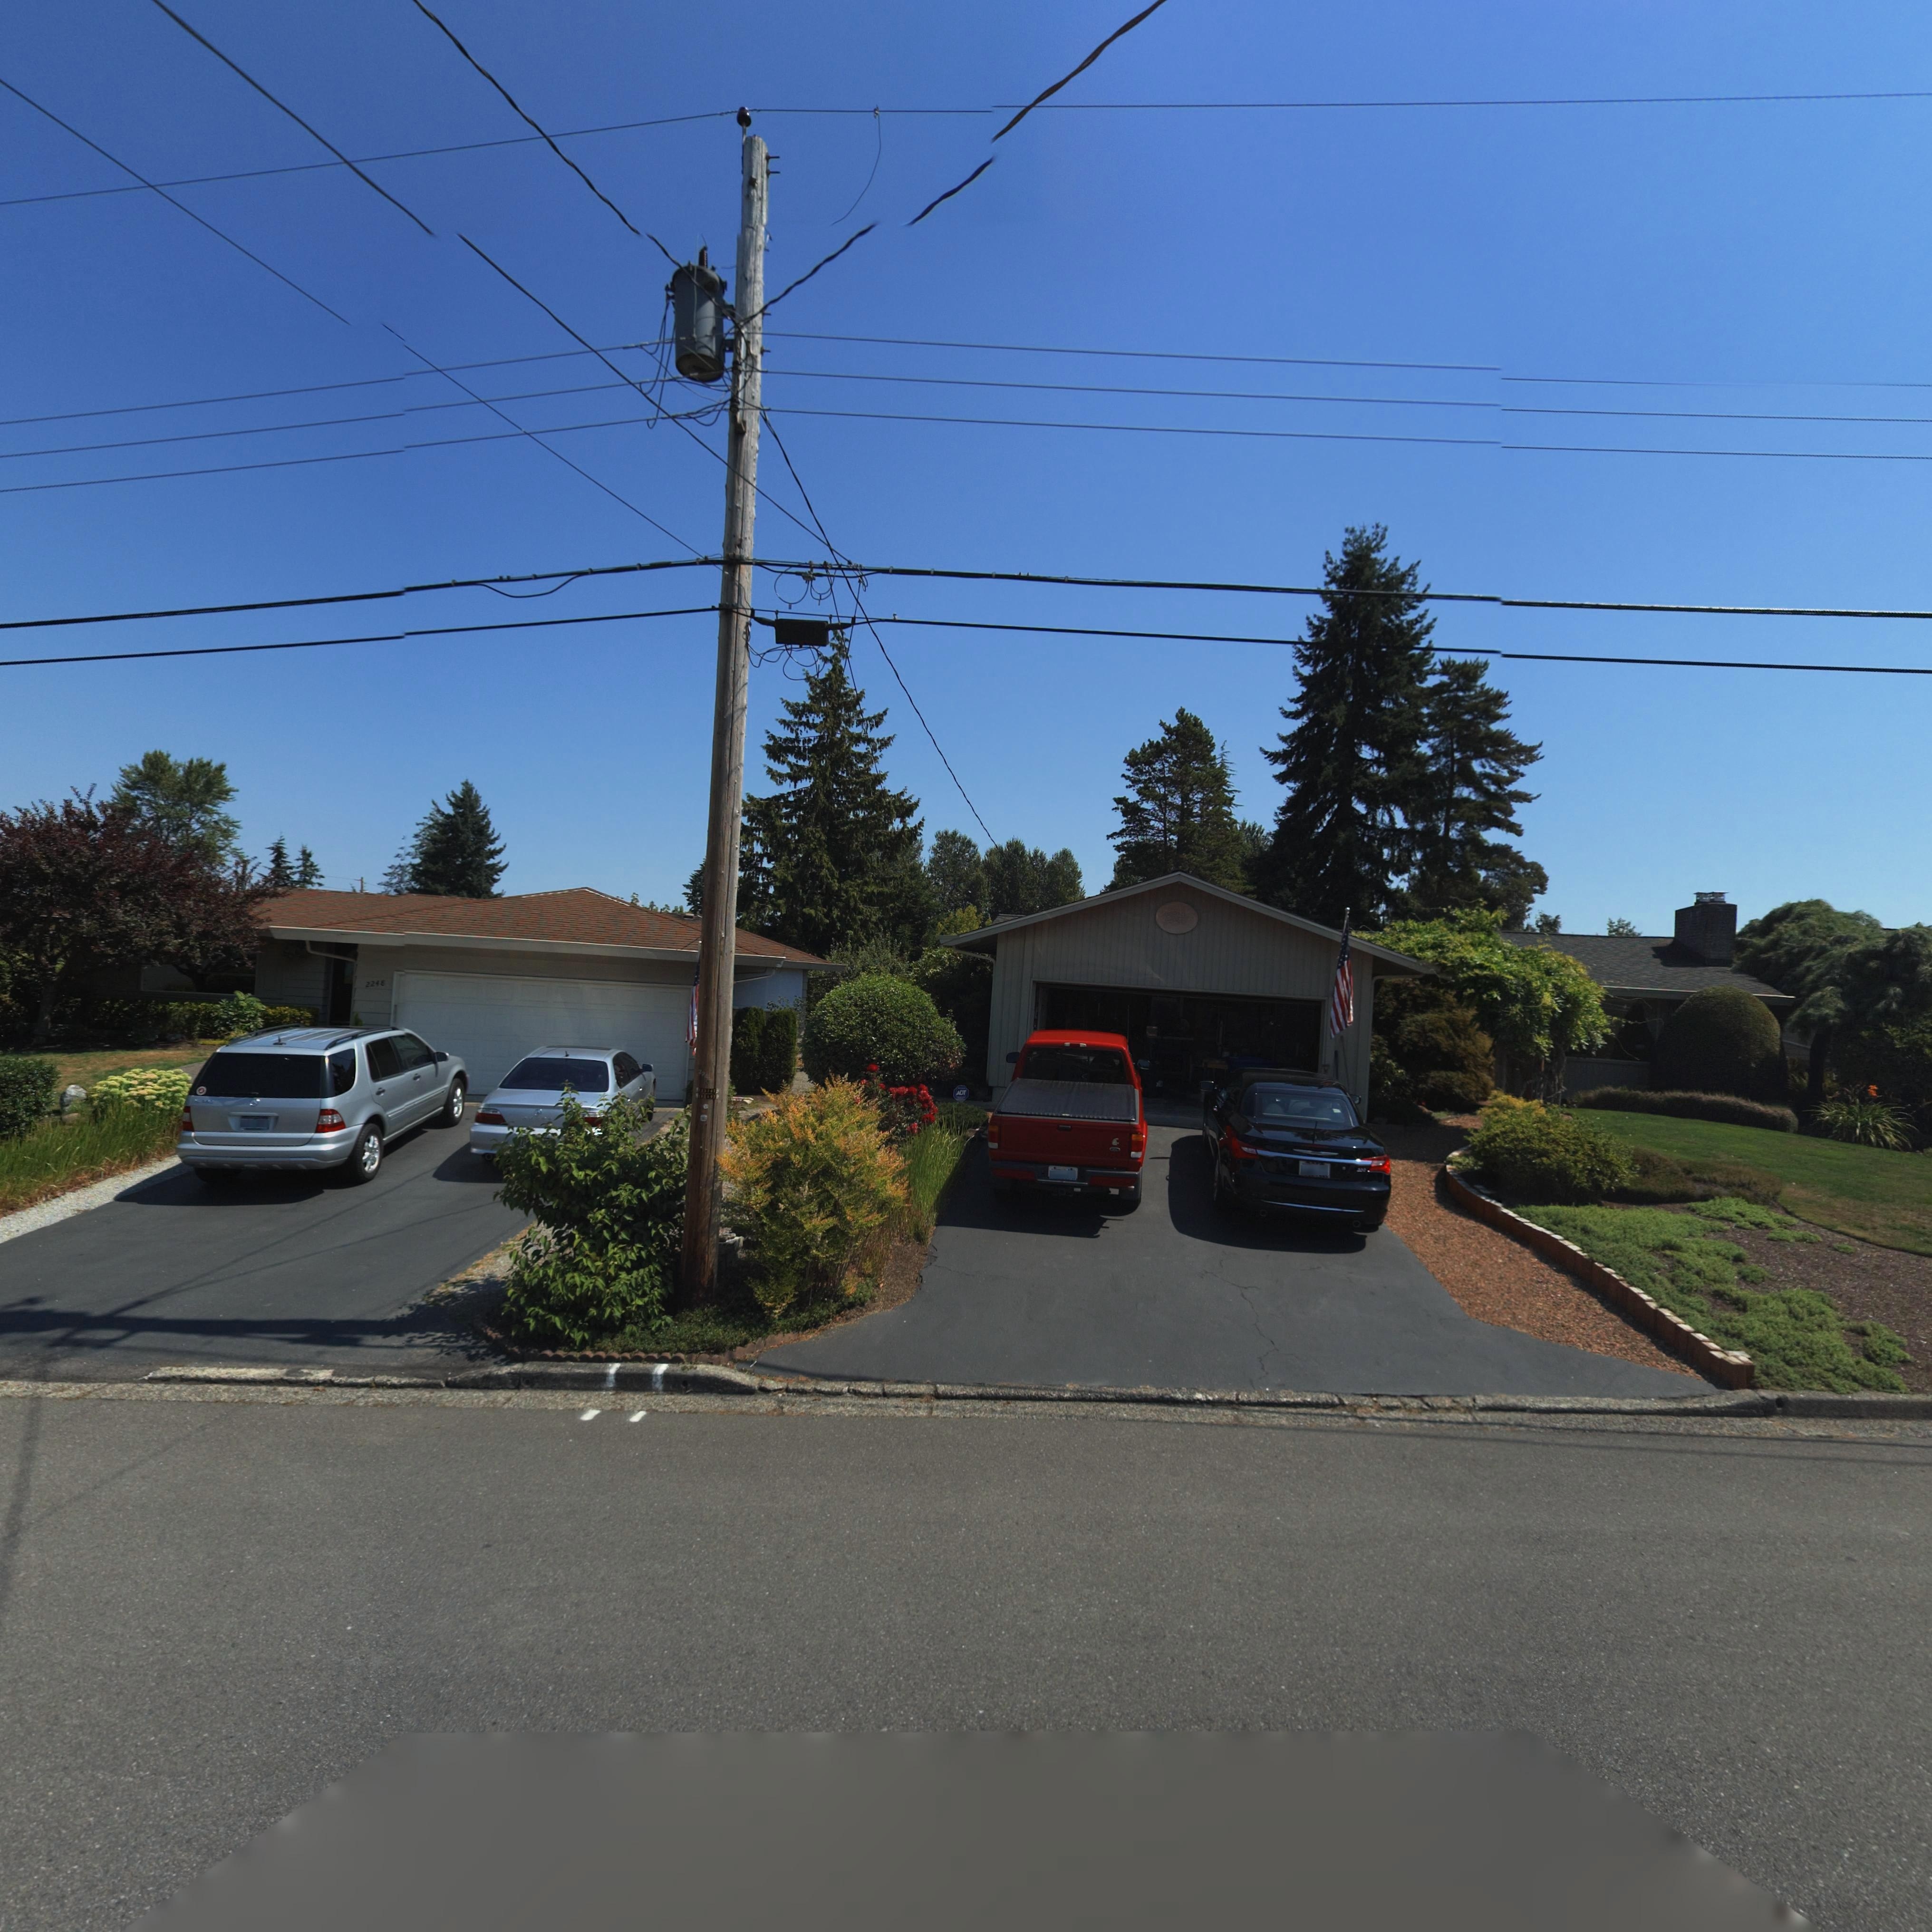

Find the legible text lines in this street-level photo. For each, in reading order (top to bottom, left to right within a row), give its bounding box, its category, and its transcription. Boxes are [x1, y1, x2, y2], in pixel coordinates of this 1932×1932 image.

[365, 979, 385, 988] StreetNumber: 2248